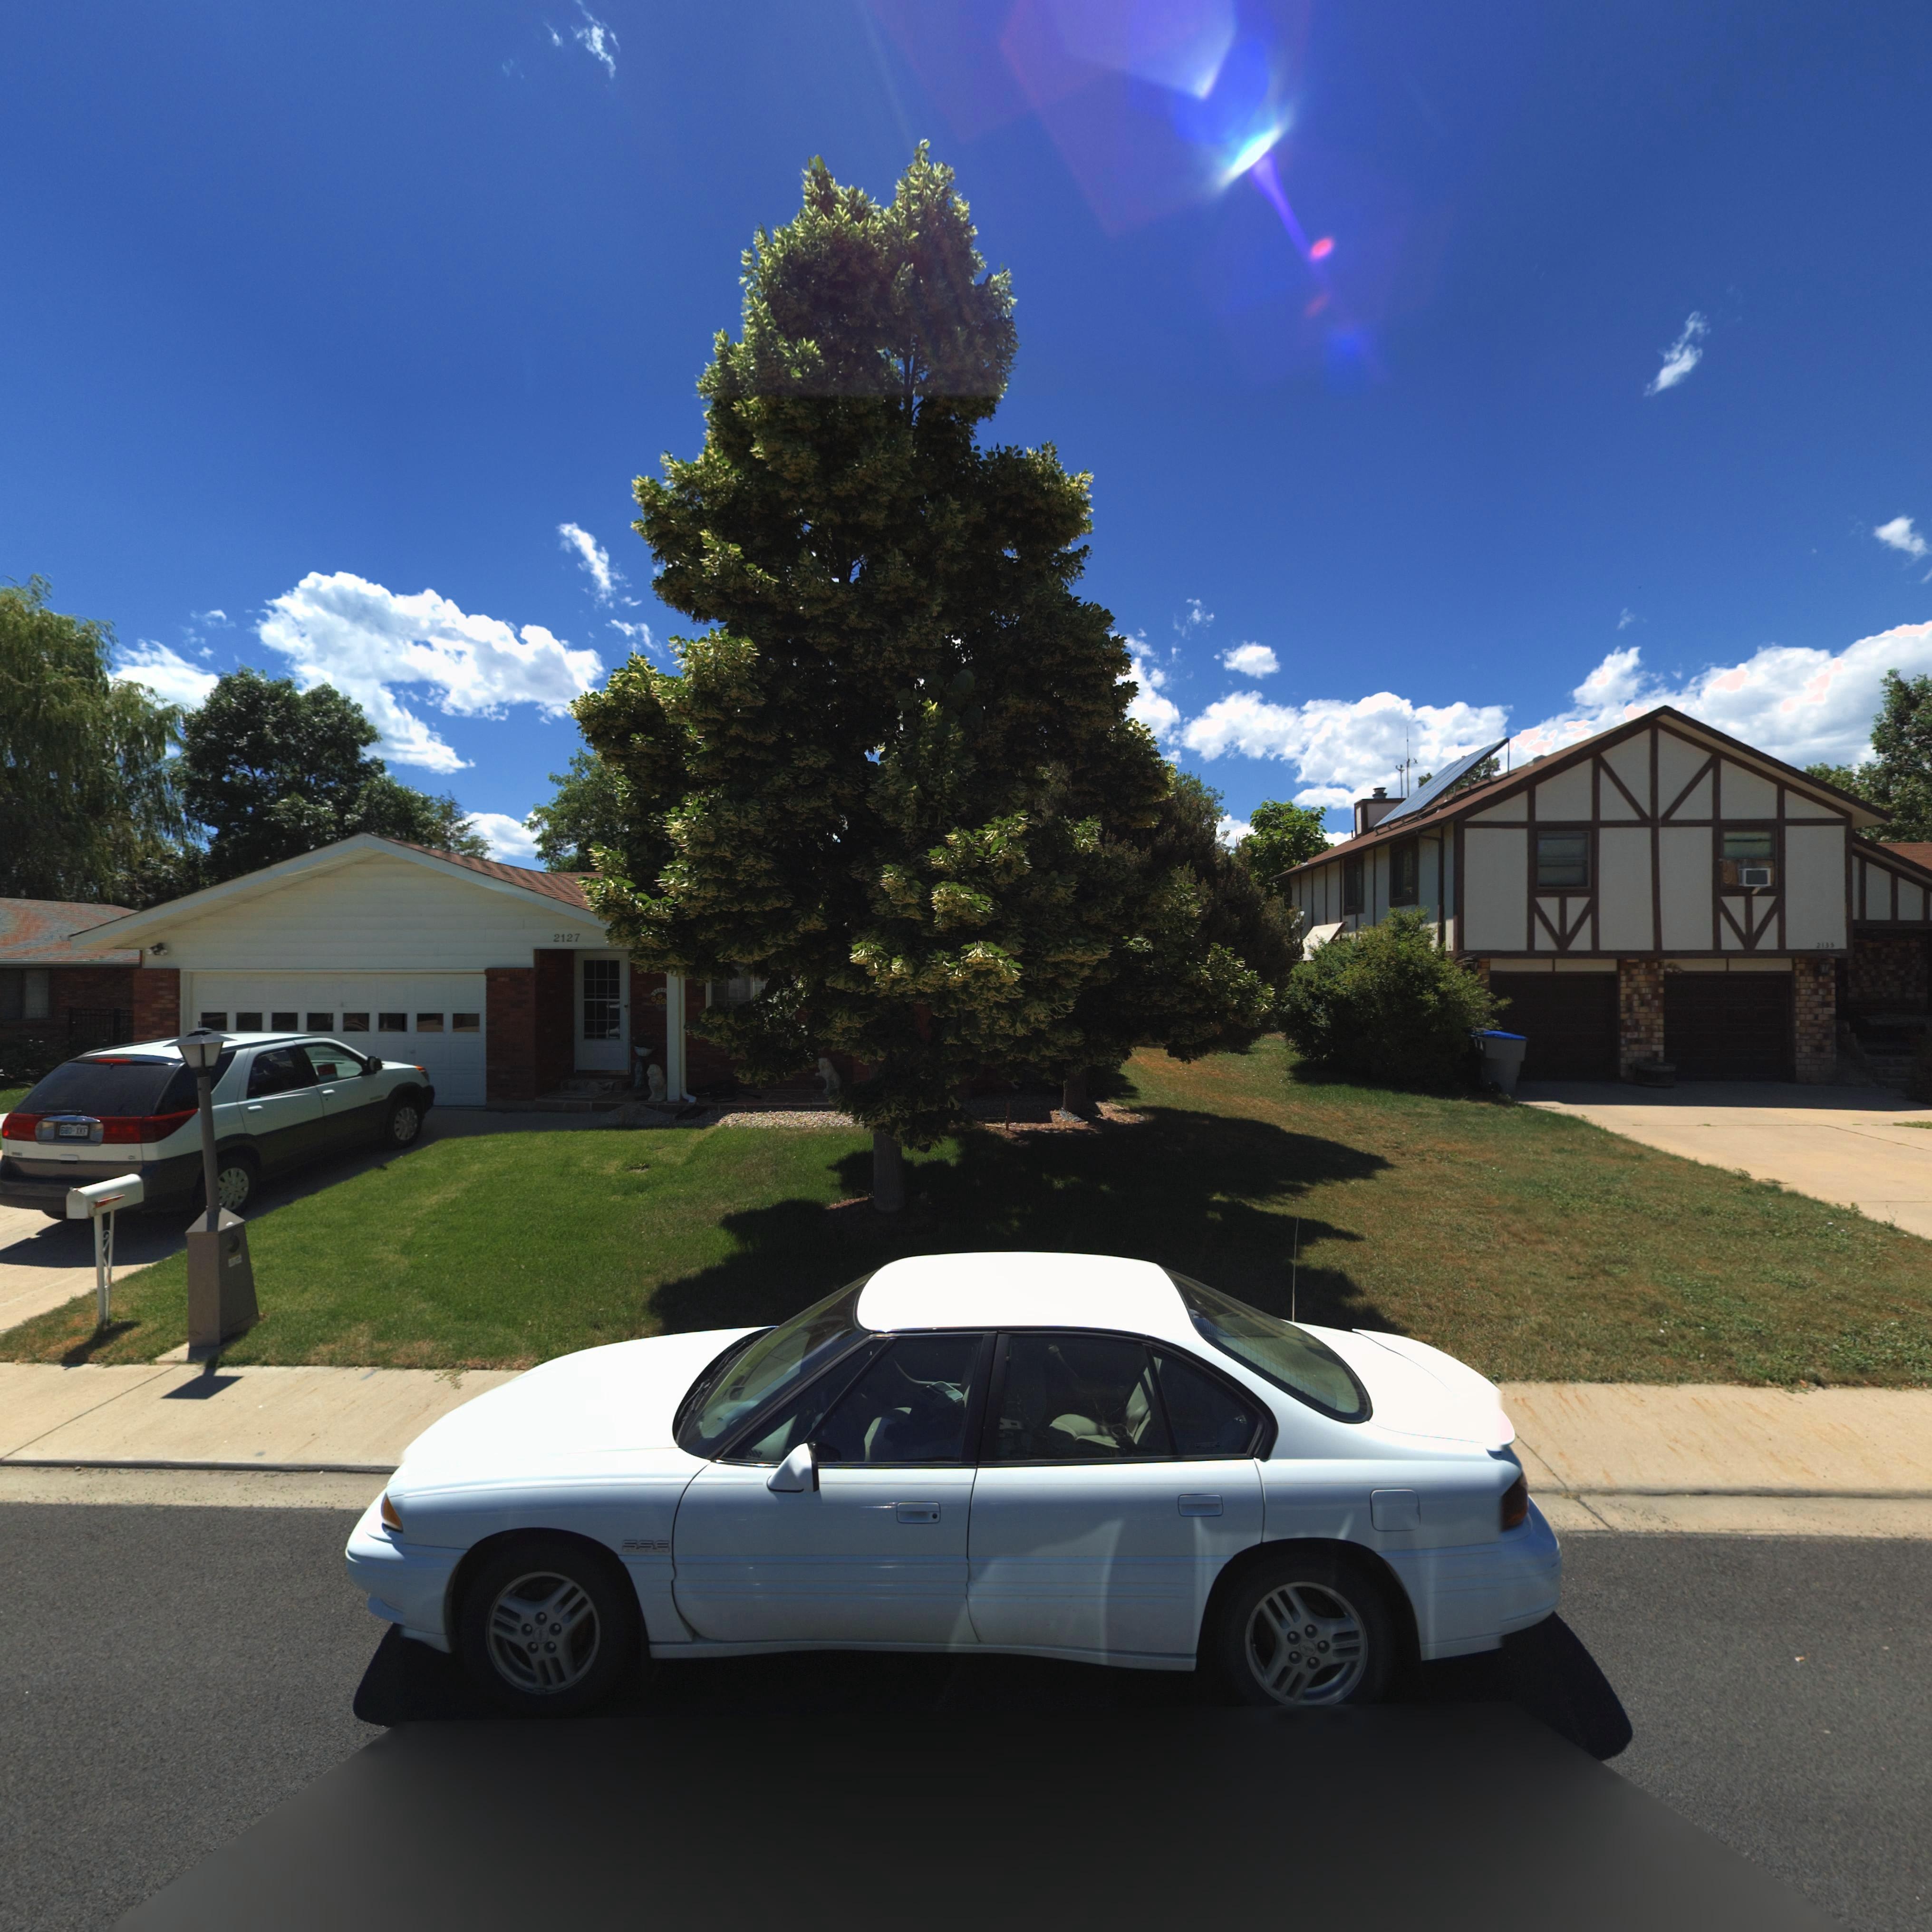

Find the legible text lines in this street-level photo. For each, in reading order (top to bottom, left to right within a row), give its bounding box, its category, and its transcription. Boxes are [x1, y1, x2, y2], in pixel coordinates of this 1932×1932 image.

[552, 933, 580, 942] StreetNumber: 2127
[1816, 941, 1835, 948] StreetNumber: 2135